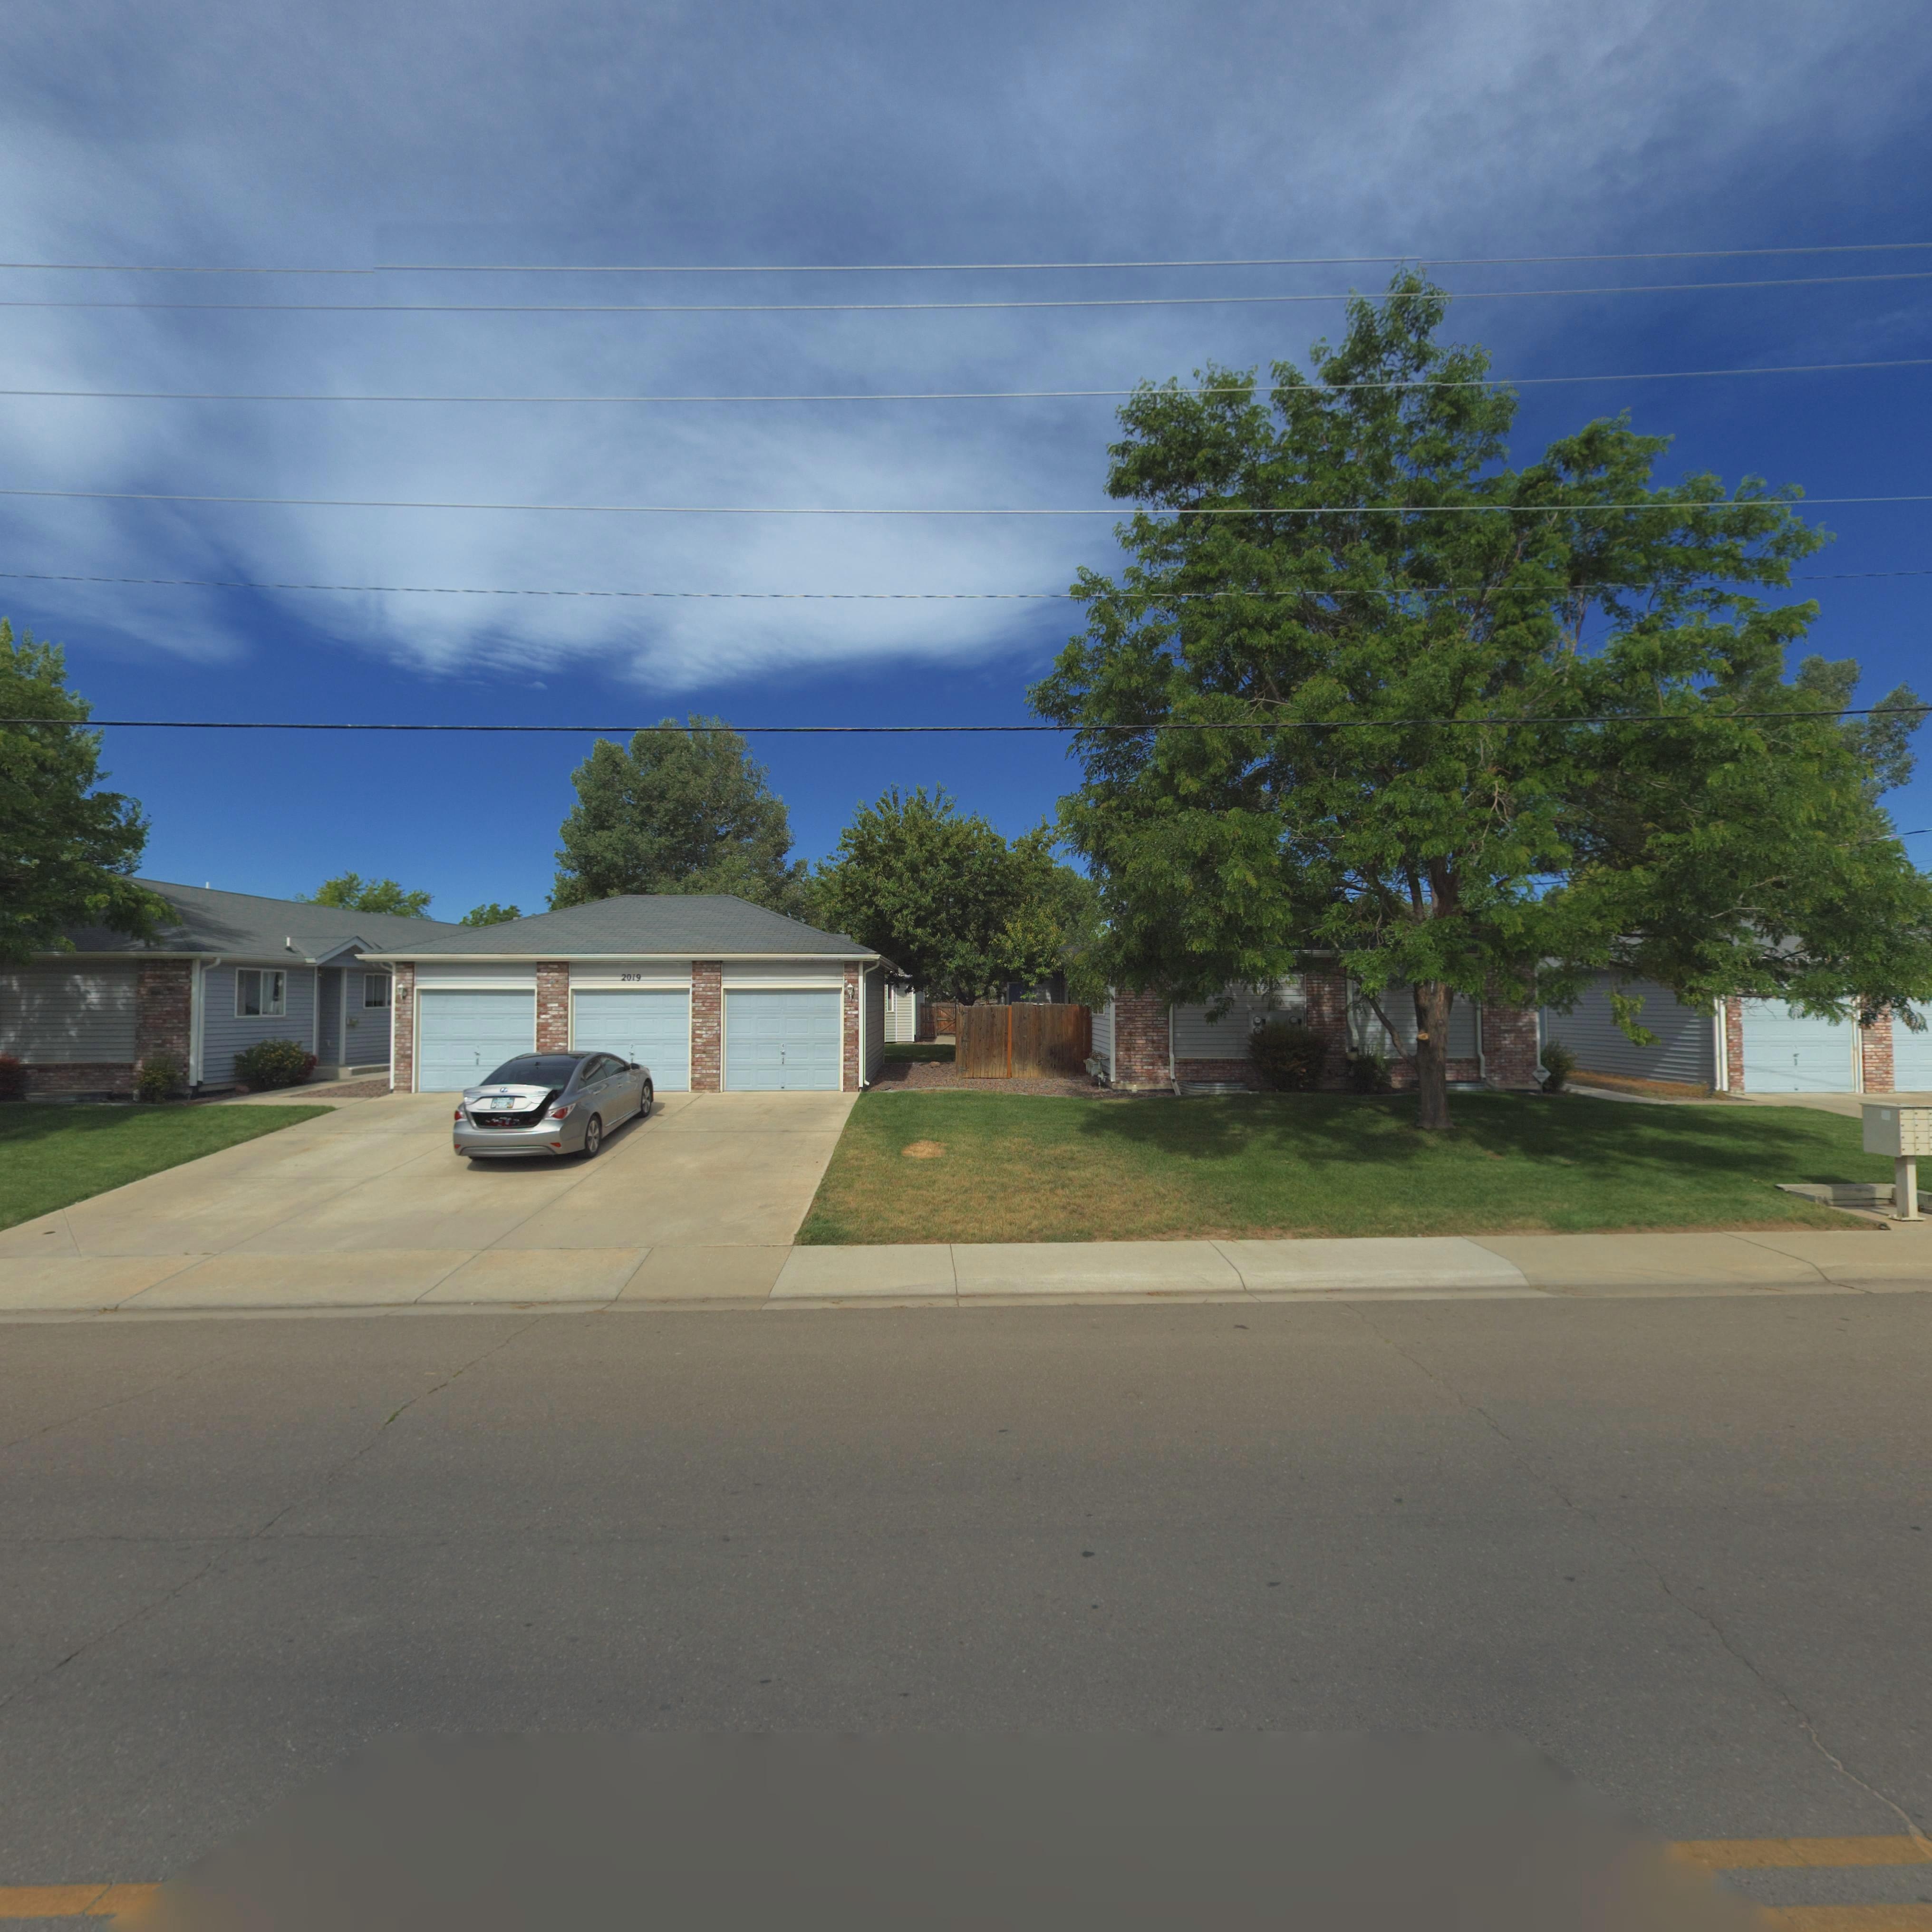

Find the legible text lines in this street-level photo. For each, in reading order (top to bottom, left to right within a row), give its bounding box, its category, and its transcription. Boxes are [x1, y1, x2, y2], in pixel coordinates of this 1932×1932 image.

[621, 974, 641, 982] StreetNumber: 2019